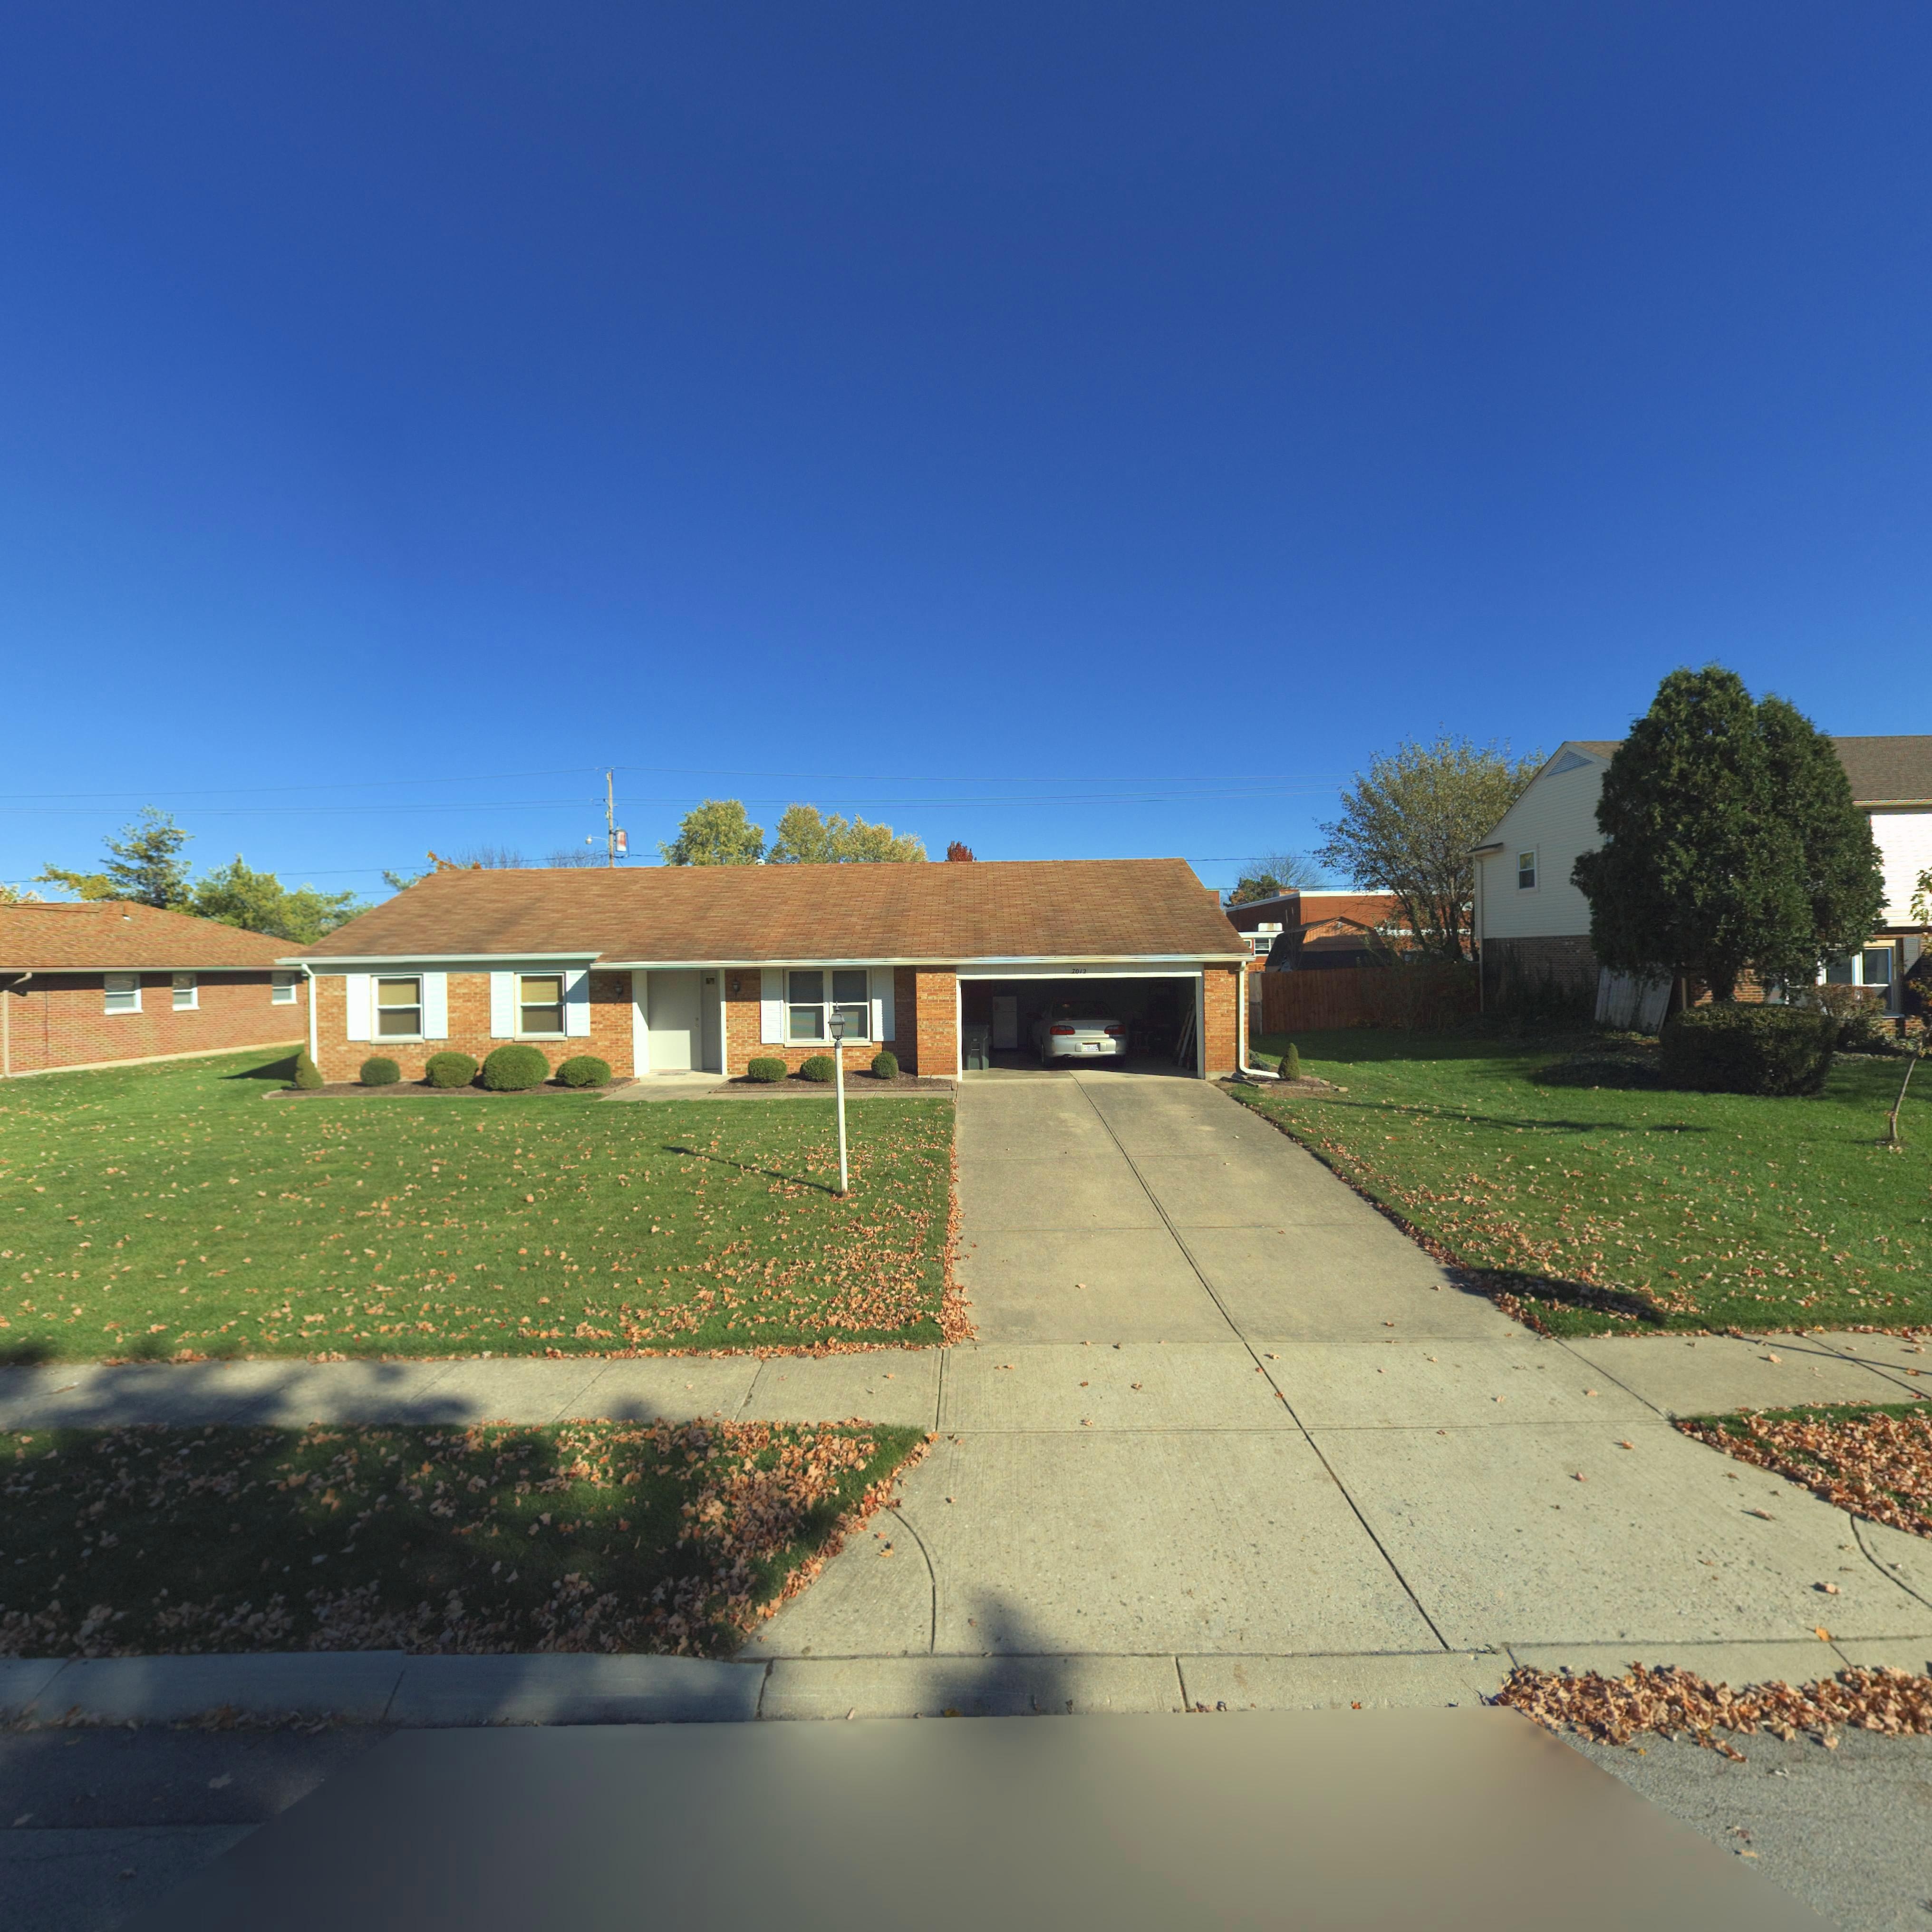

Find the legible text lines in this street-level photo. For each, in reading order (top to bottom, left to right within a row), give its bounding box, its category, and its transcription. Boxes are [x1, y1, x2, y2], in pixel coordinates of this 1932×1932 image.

[1072, 968, 1086, 974] StreetNumber: 7012